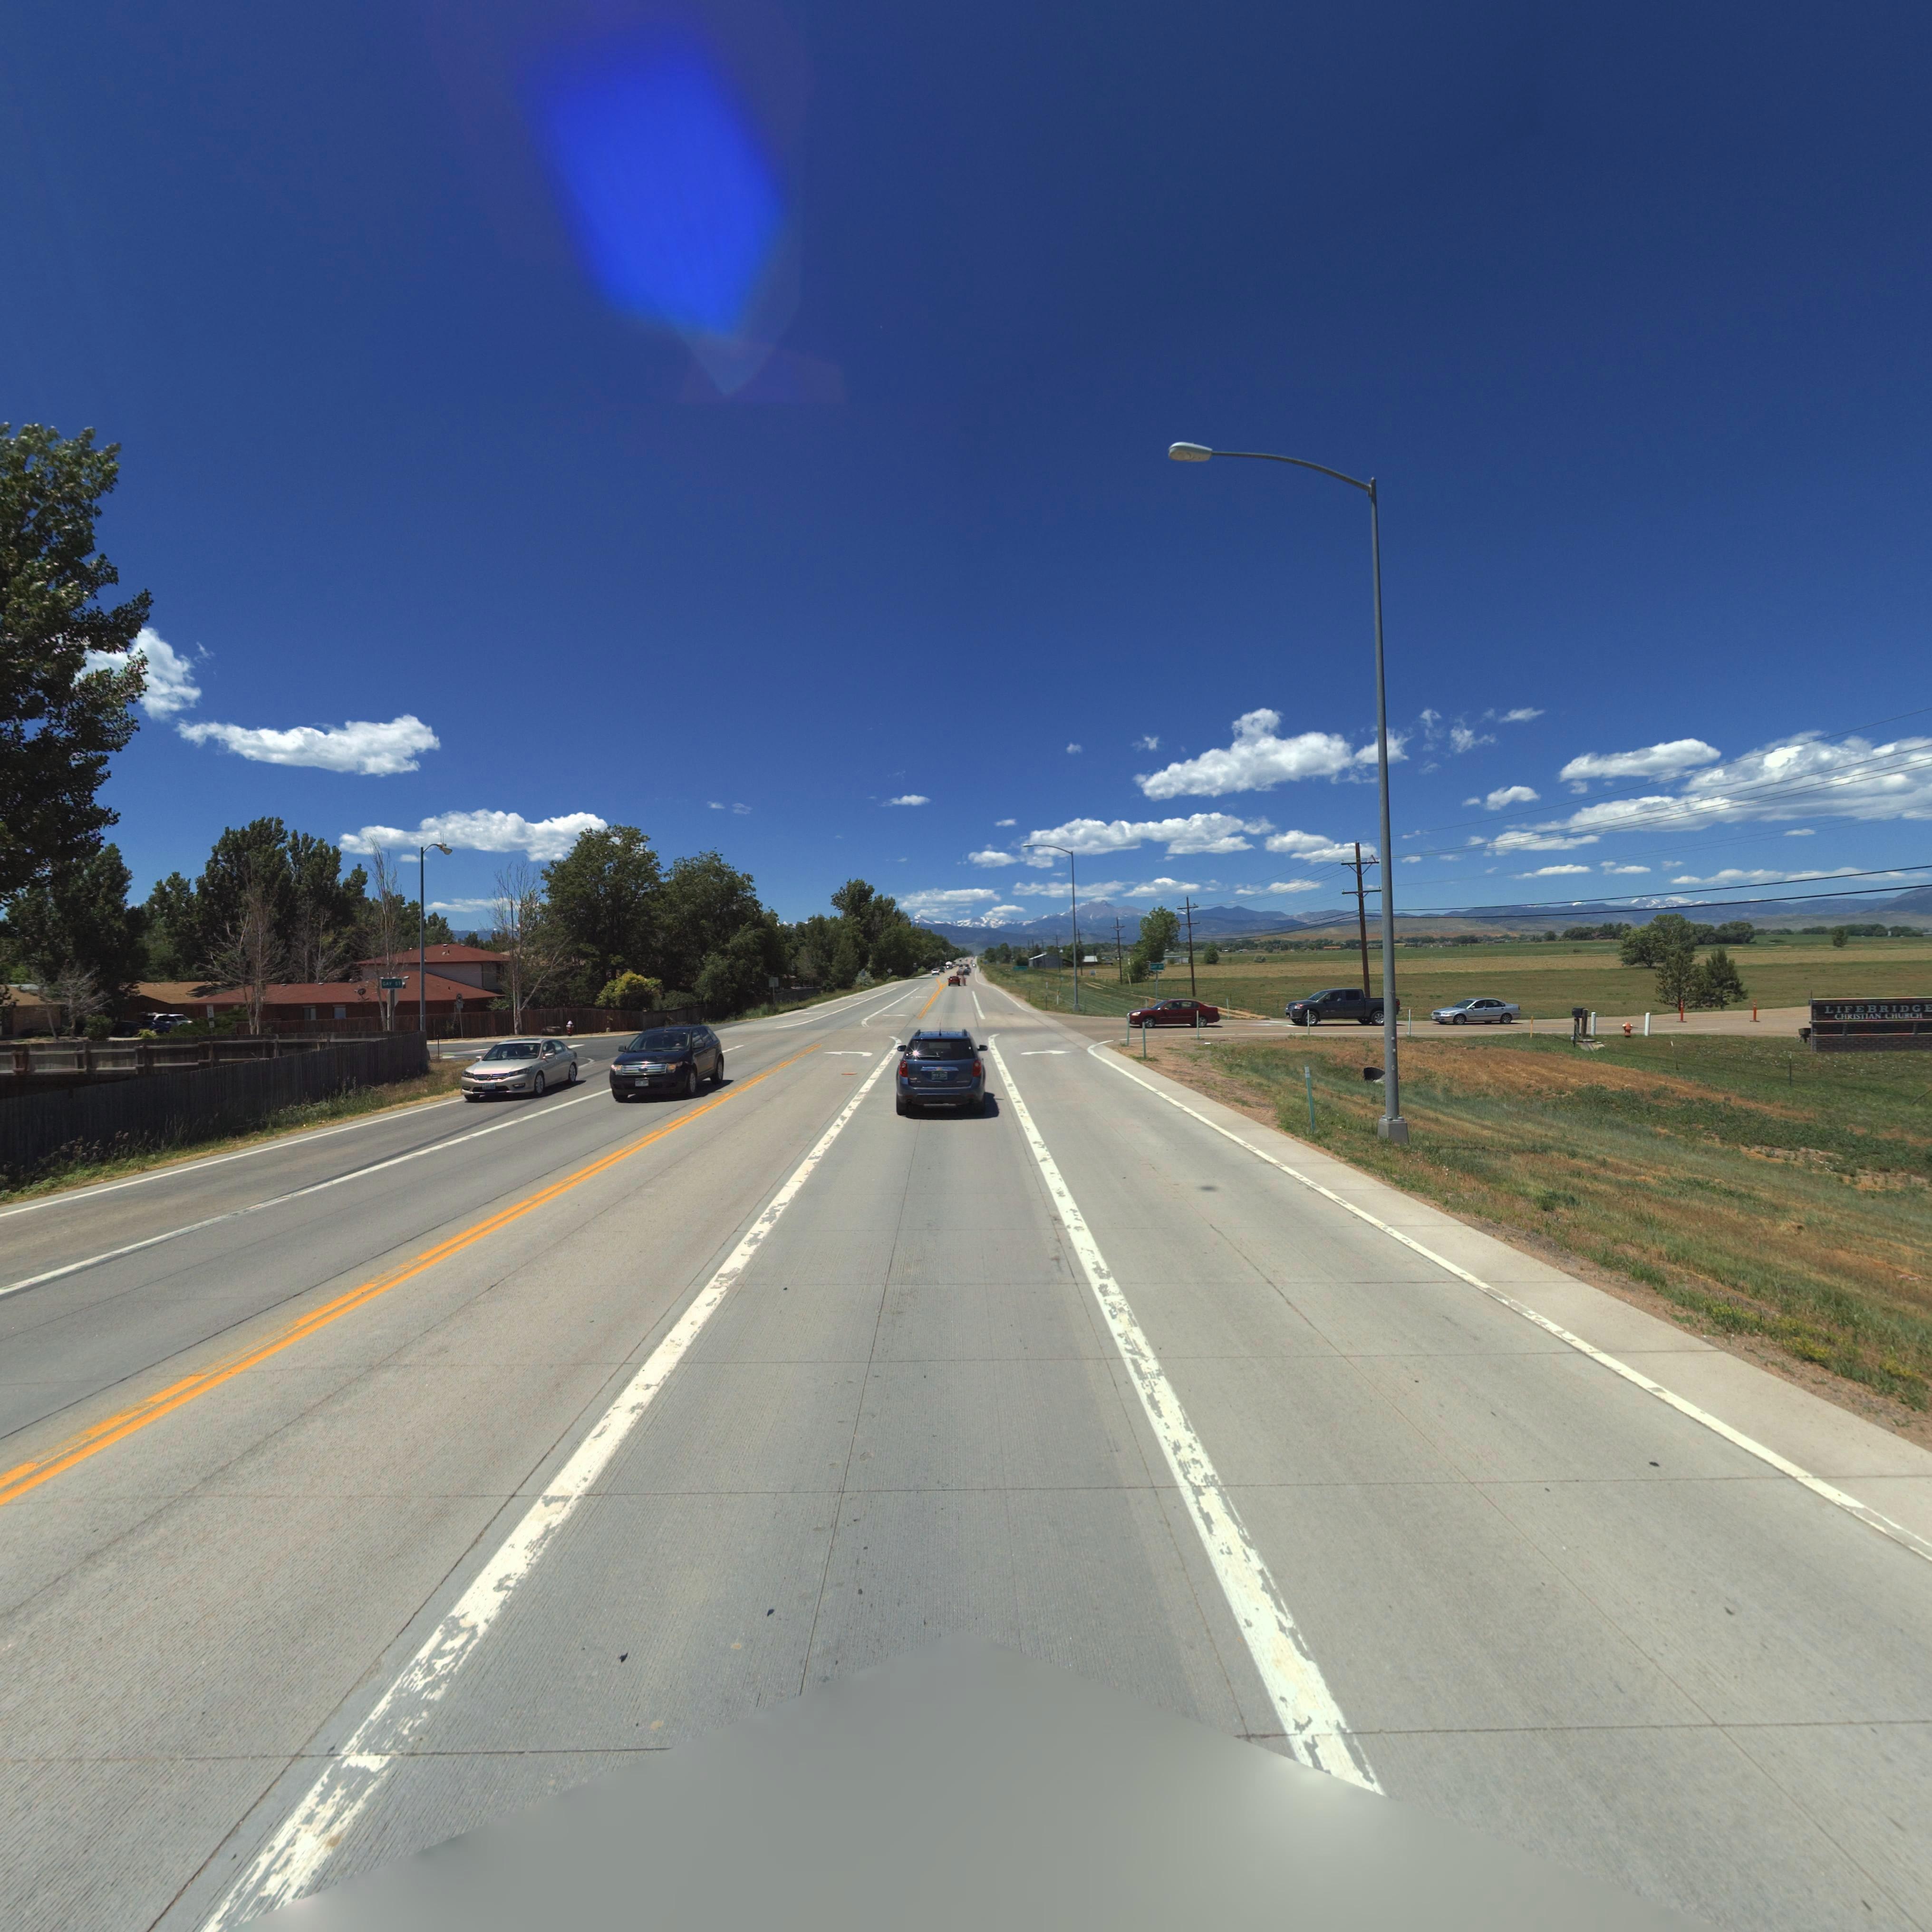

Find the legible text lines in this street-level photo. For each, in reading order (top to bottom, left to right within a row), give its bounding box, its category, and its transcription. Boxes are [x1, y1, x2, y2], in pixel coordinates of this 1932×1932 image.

[1150, 965, 1163, 968] StreetName: G** S*
[382, 981, 401, 986] StreetName: GAY ST
[1824, 1003, 1932, 1014] BusinessName: LIFEBRIDGE
[1834, 1012, 1924, 1020] BusinessName: CHRISTIAN CHURCH